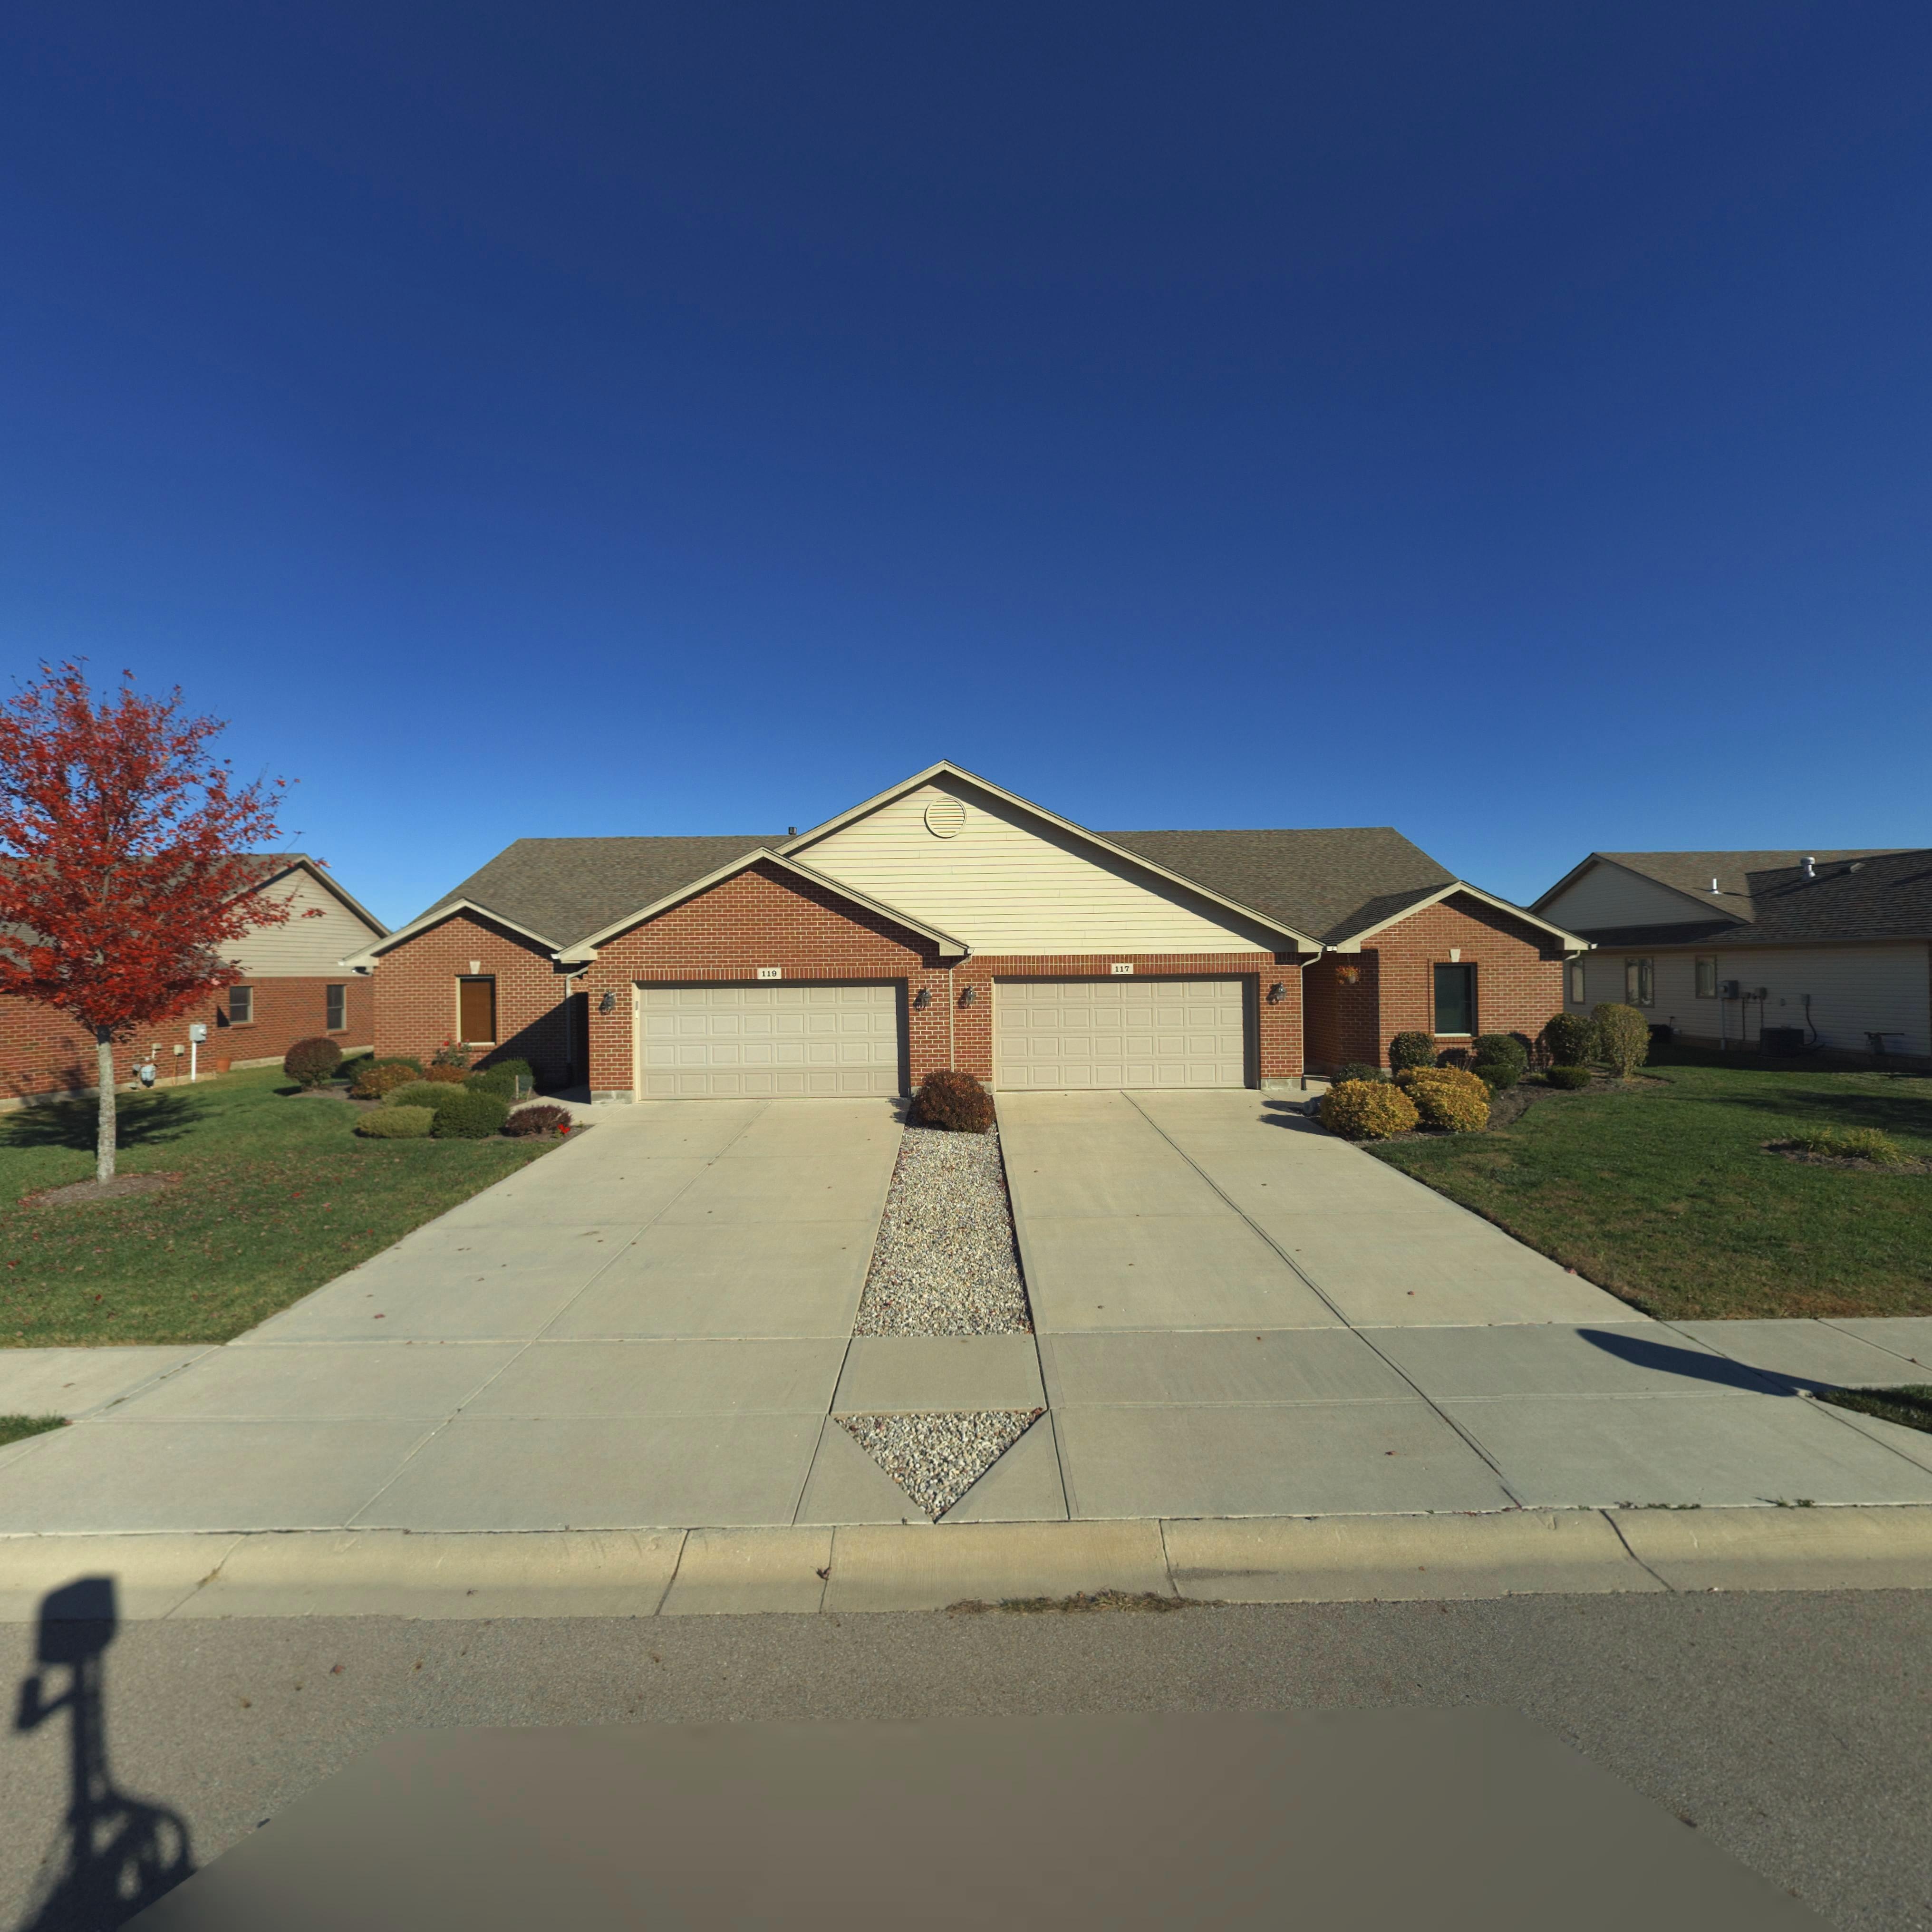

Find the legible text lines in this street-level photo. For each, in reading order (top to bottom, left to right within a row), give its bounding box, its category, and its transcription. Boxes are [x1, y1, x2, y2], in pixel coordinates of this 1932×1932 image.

[1114, 965, 1130, 973] StreetNumber: 117
[761, 969, 778, 978] StreetNumber: 119